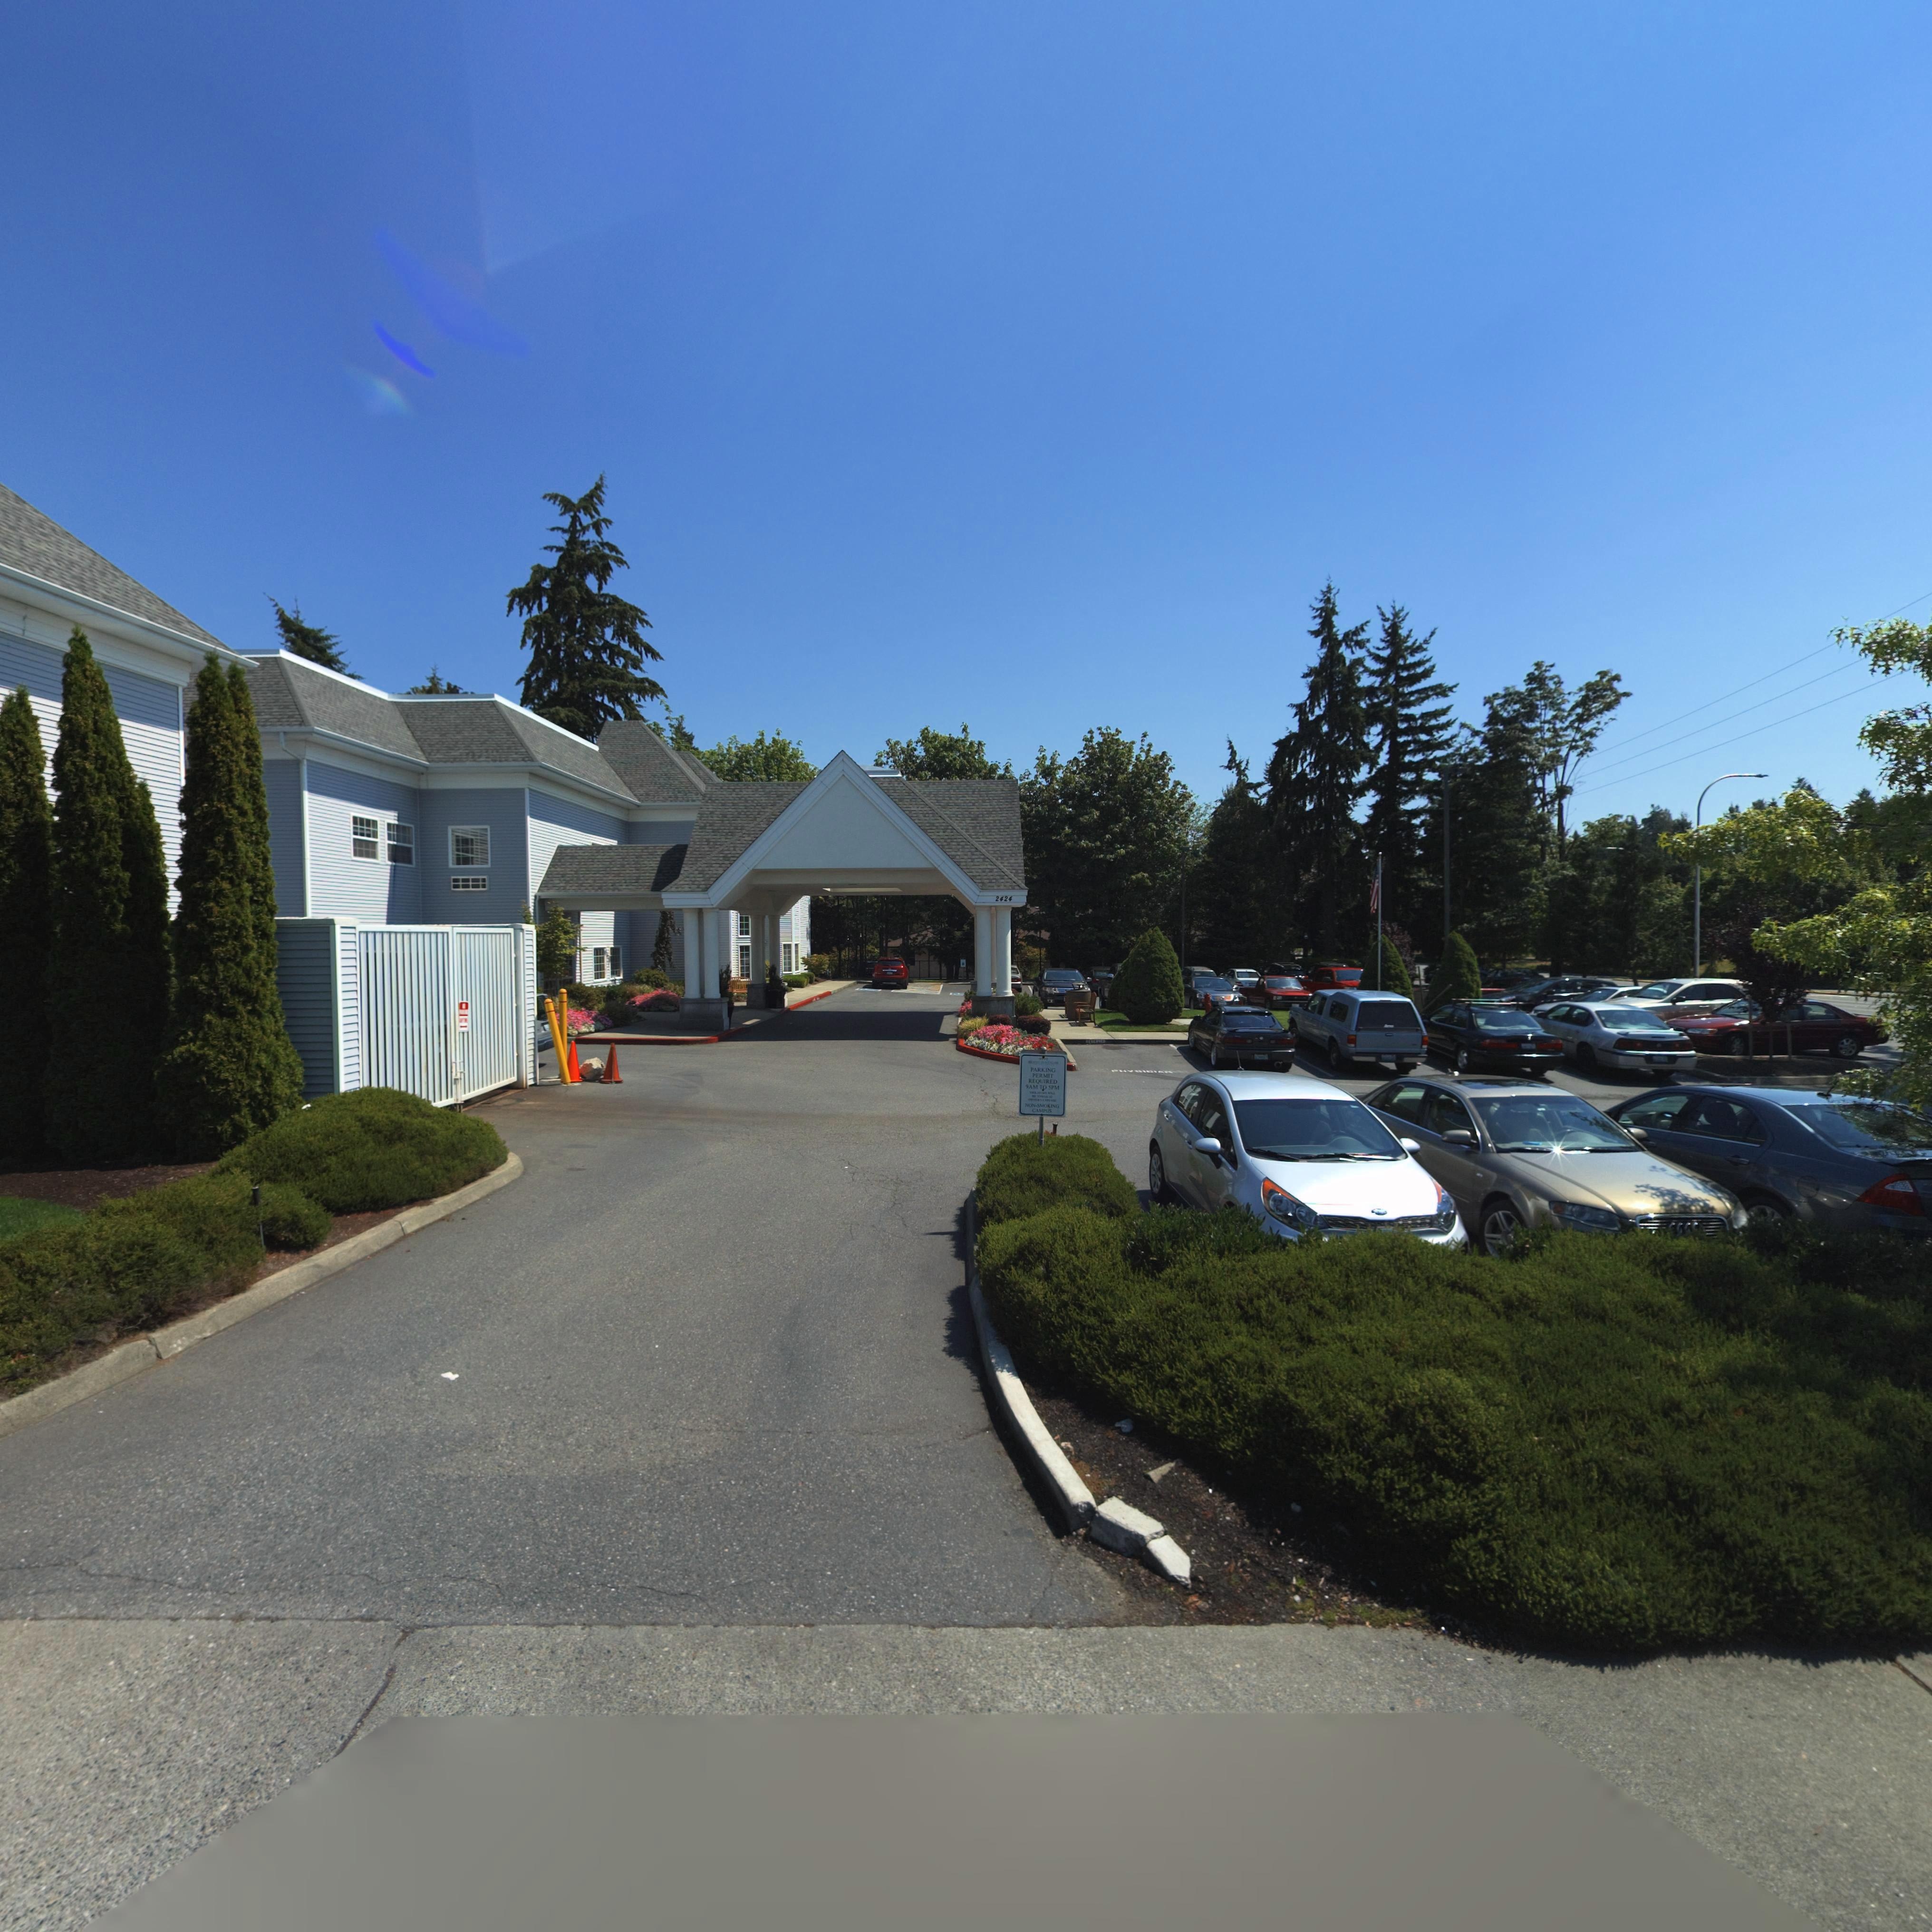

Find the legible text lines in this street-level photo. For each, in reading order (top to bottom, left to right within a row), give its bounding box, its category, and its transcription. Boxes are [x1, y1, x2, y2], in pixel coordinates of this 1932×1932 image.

[995, 894, 1013, 901] StreetNumber: 2424